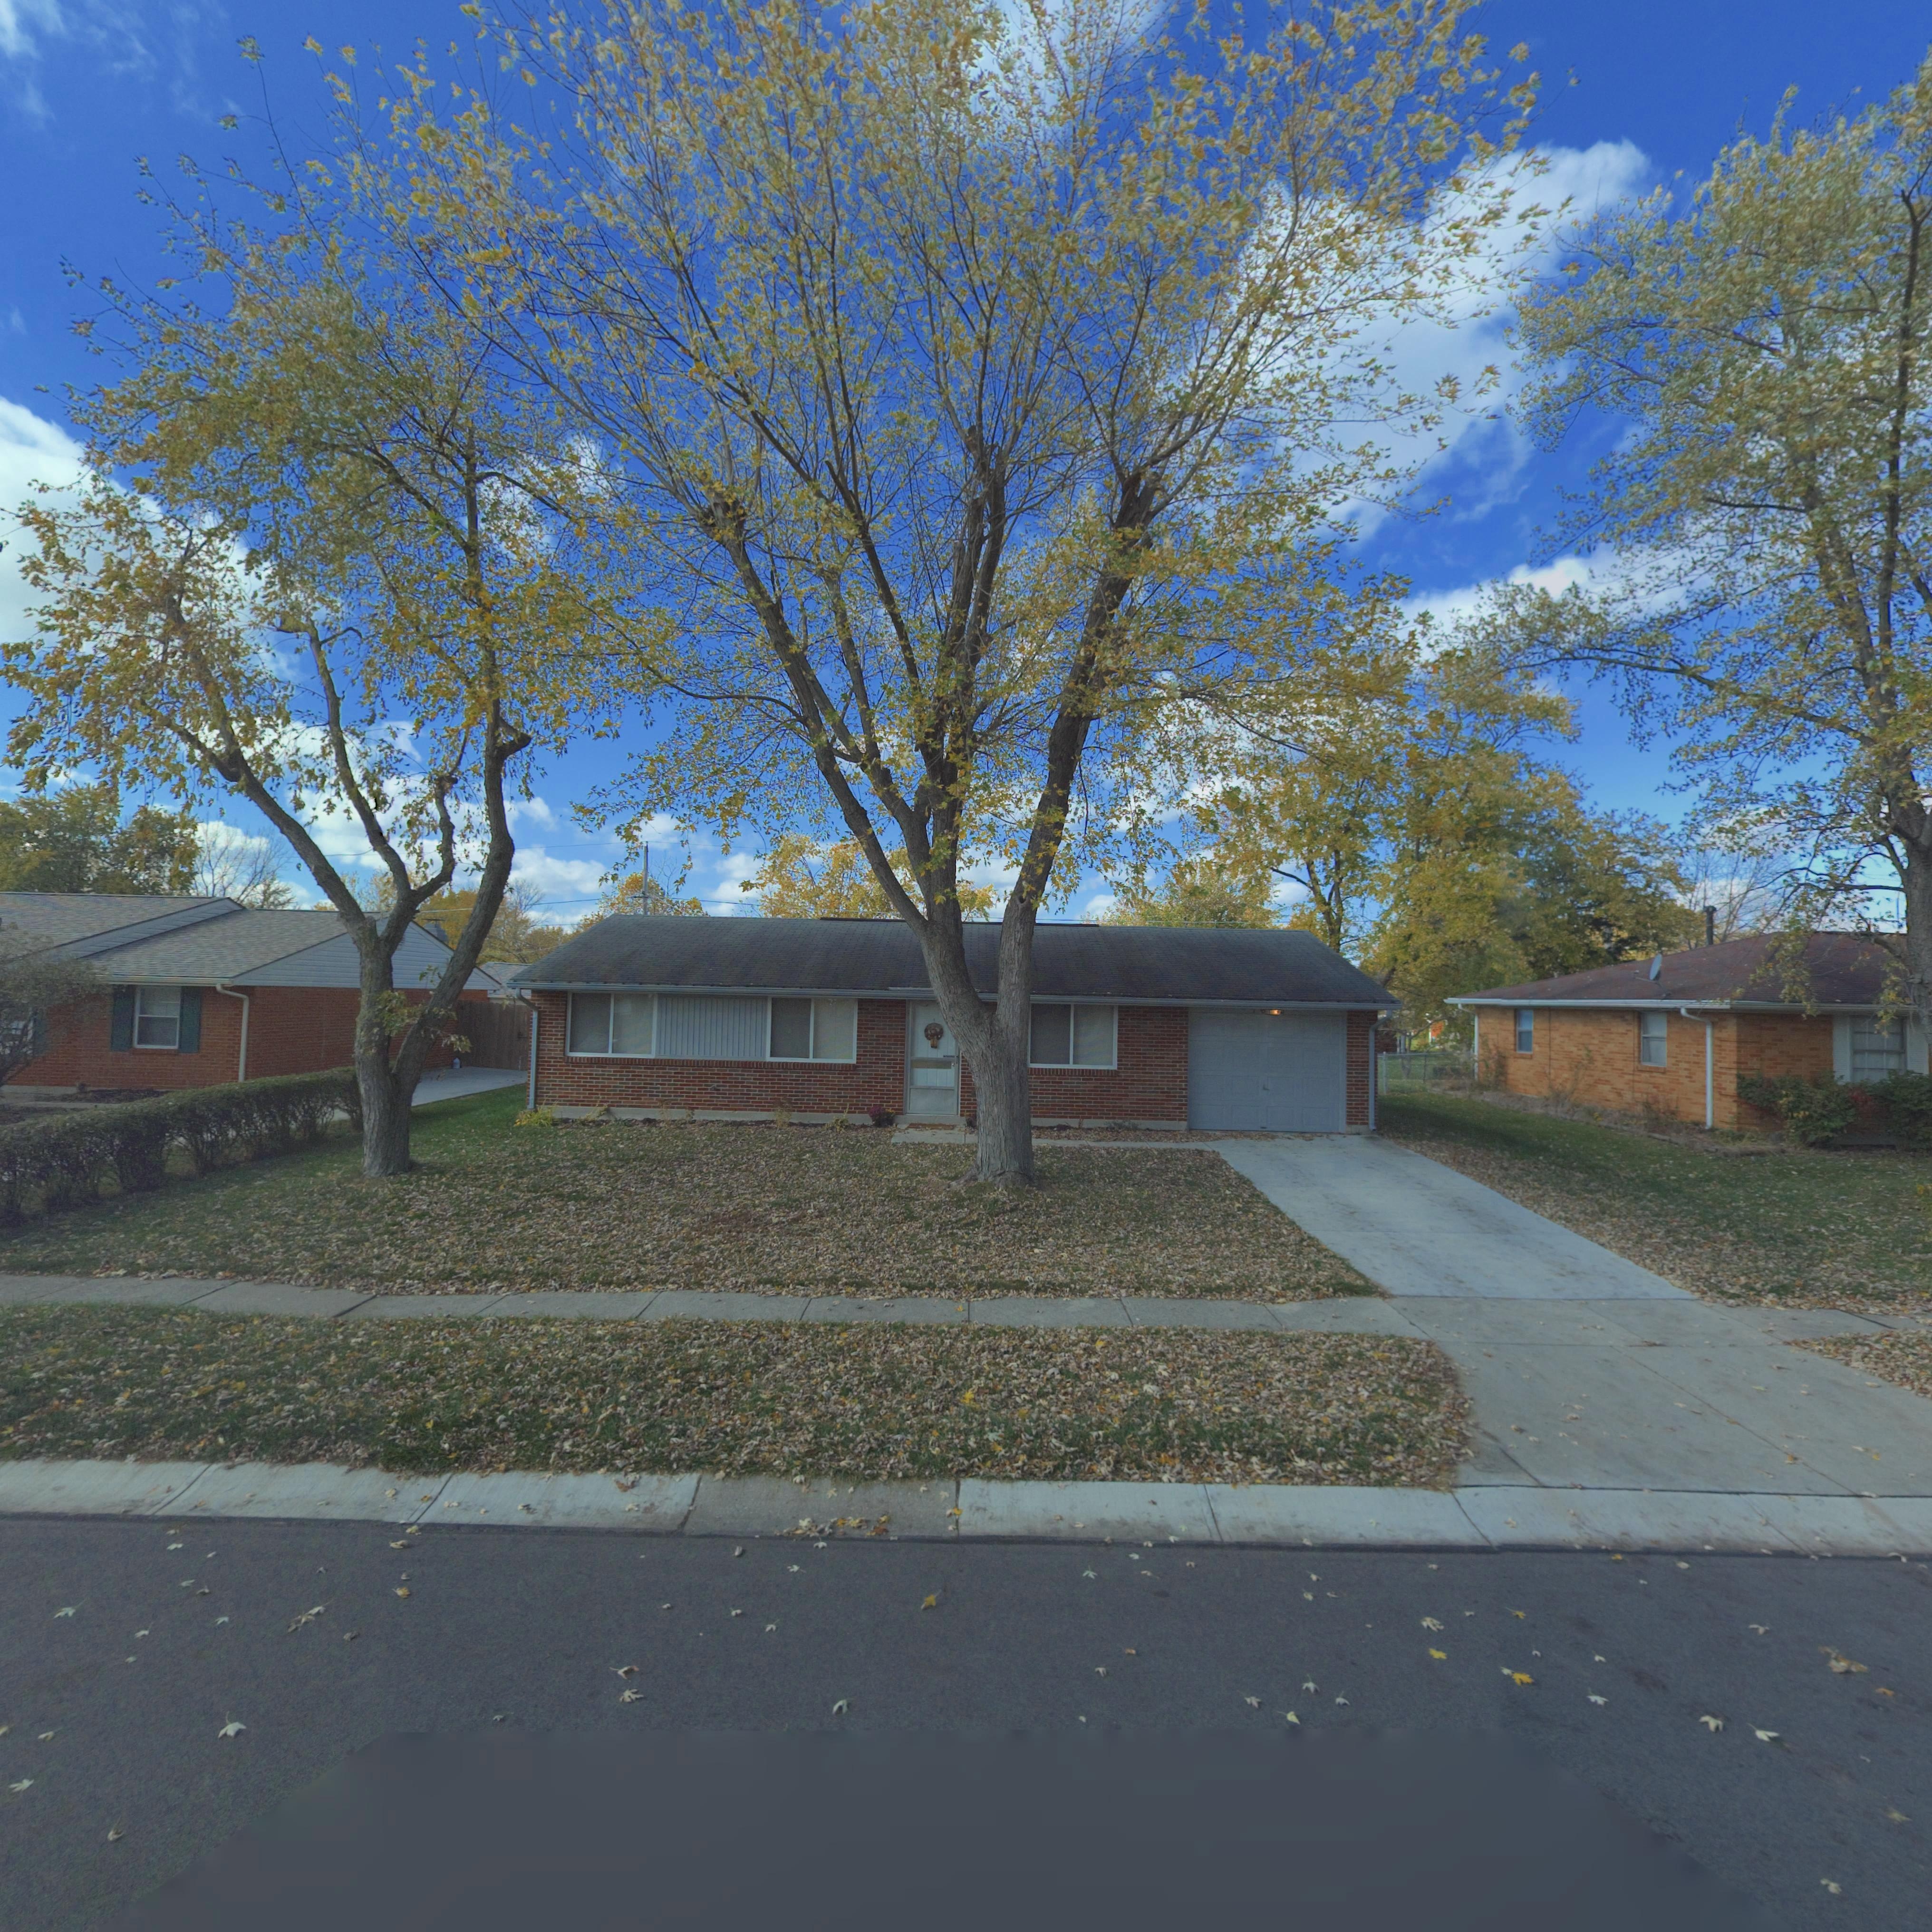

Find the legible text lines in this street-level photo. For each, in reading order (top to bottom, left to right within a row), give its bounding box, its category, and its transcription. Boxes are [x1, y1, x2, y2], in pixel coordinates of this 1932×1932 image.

[1250, 1008, 1266, 1014] StreetNumber: 7*